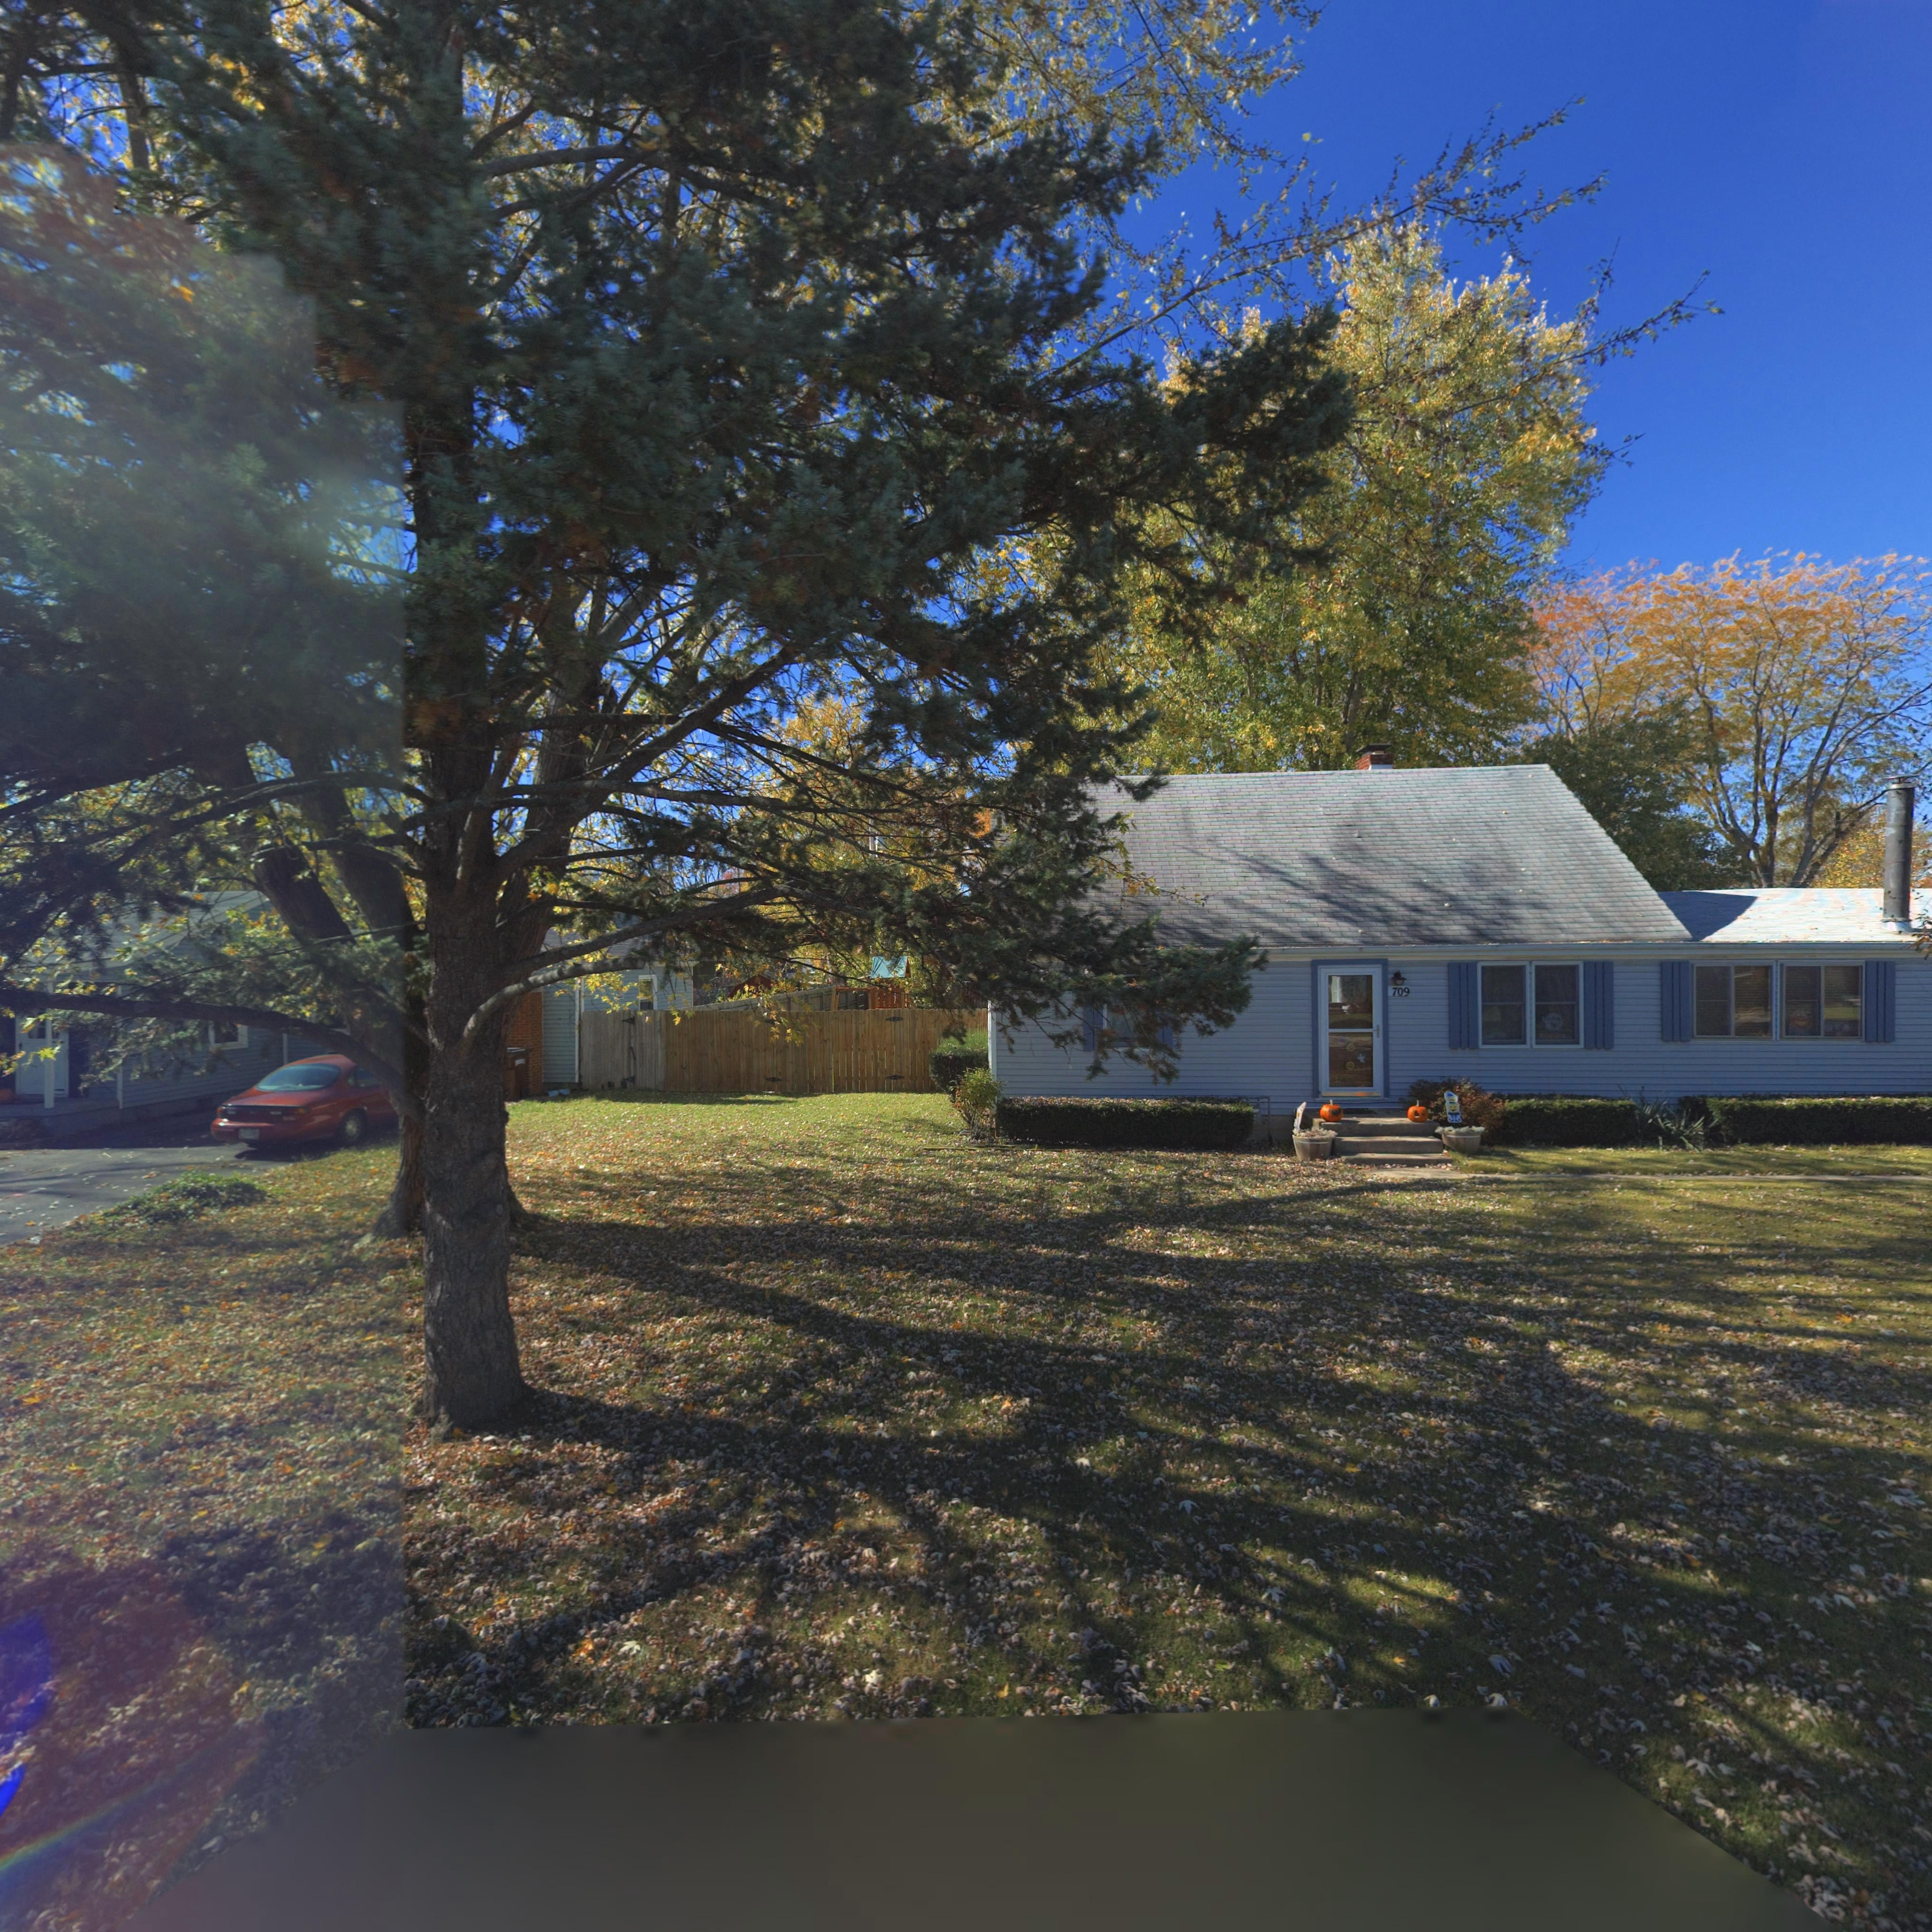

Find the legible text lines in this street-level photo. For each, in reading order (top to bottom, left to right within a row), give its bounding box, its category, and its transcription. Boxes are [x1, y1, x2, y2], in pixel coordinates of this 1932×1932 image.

[1391, 987, 1410, 997] StreetNumber: 709